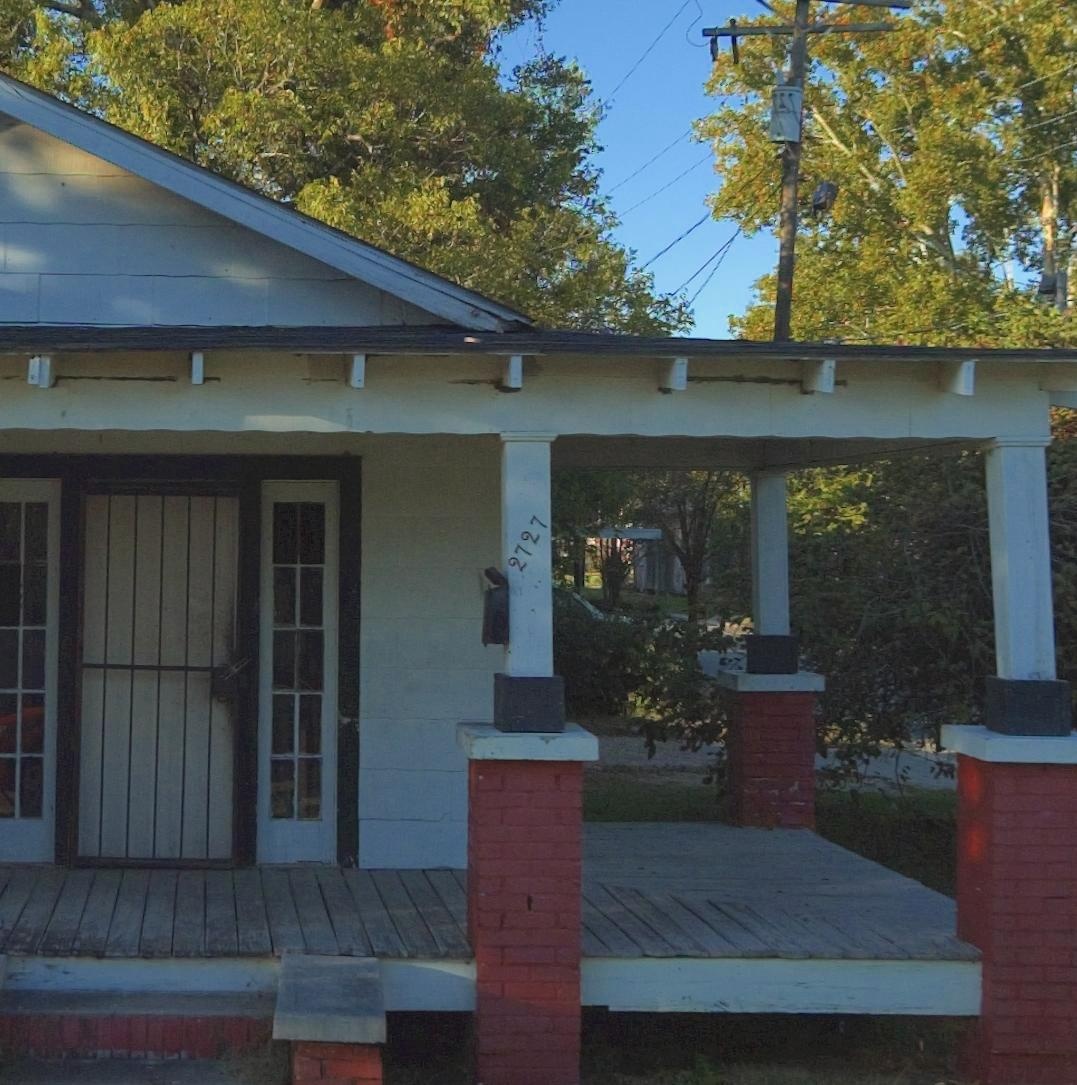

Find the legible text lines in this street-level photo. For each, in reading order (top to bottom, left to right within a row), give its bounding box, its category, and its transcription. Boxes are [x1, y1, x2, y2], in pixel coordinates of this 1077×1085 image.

[502, 509, 553, 577] StreetNumber: 2727